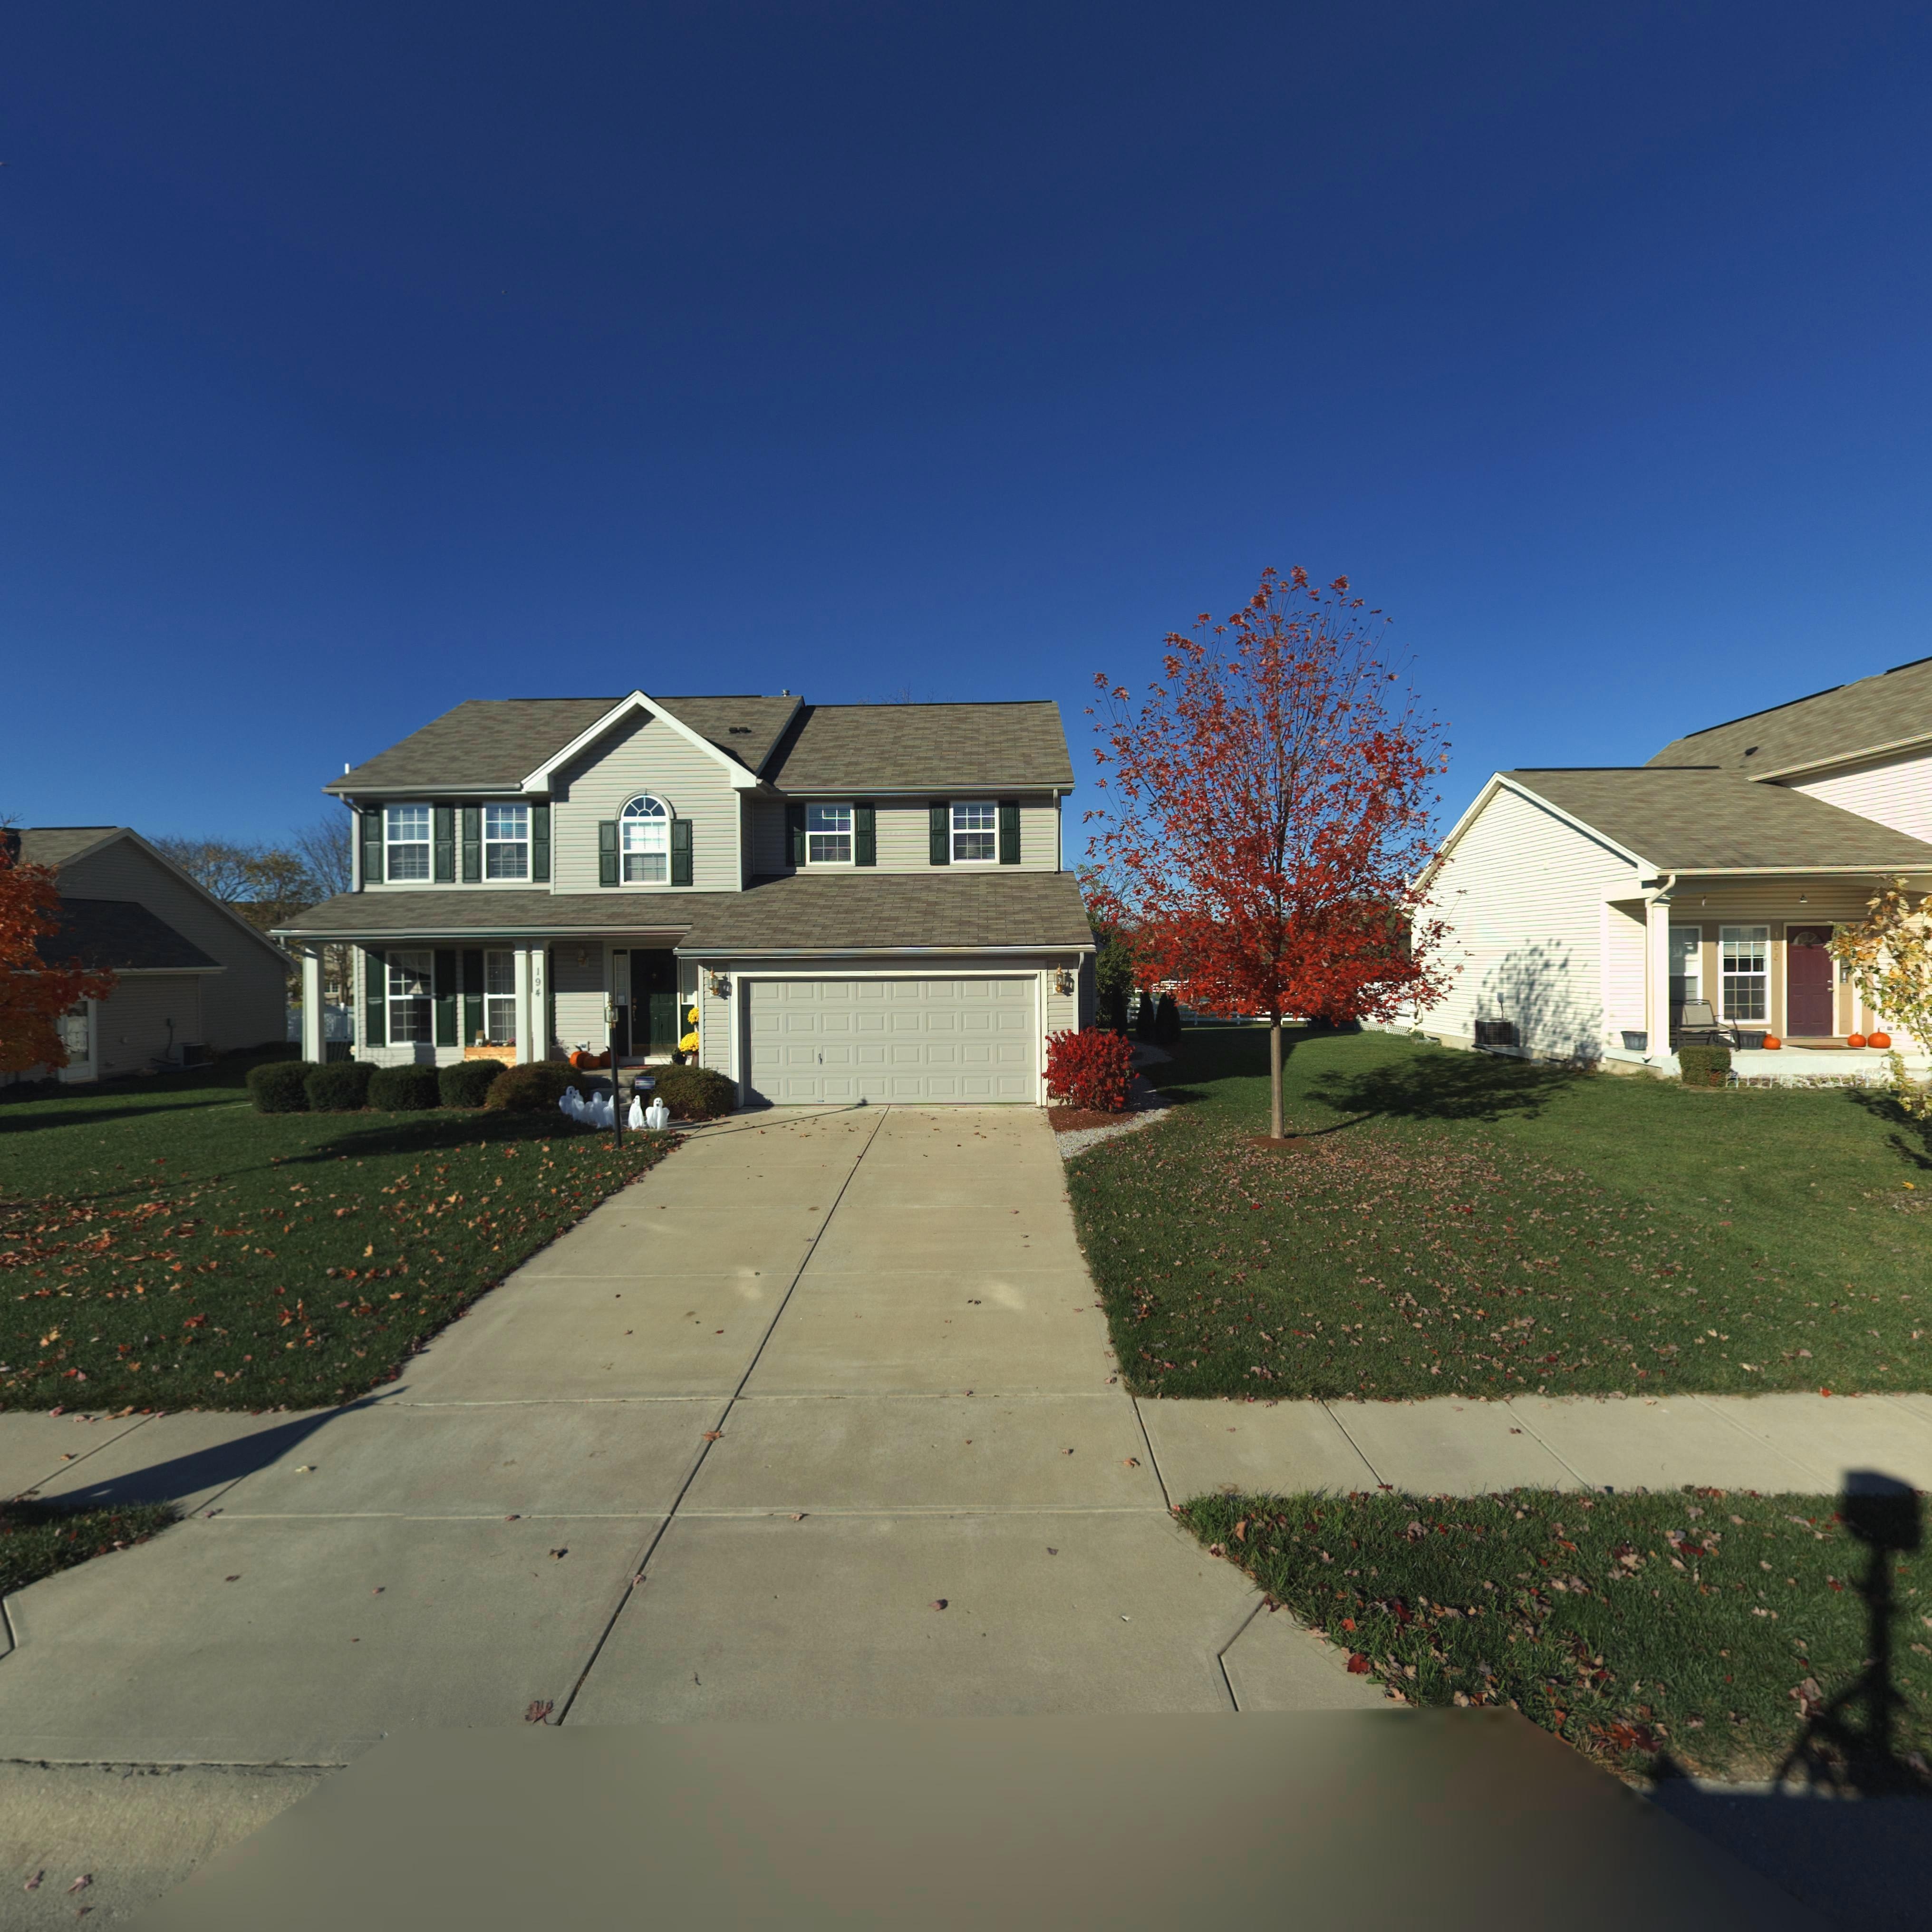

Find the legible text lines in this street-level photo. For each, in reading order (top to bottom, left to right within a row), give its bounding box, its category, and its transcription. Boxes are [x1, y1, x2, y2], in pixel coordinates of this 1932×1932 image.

[534, 966, 542, 997] StreetNumber: 194